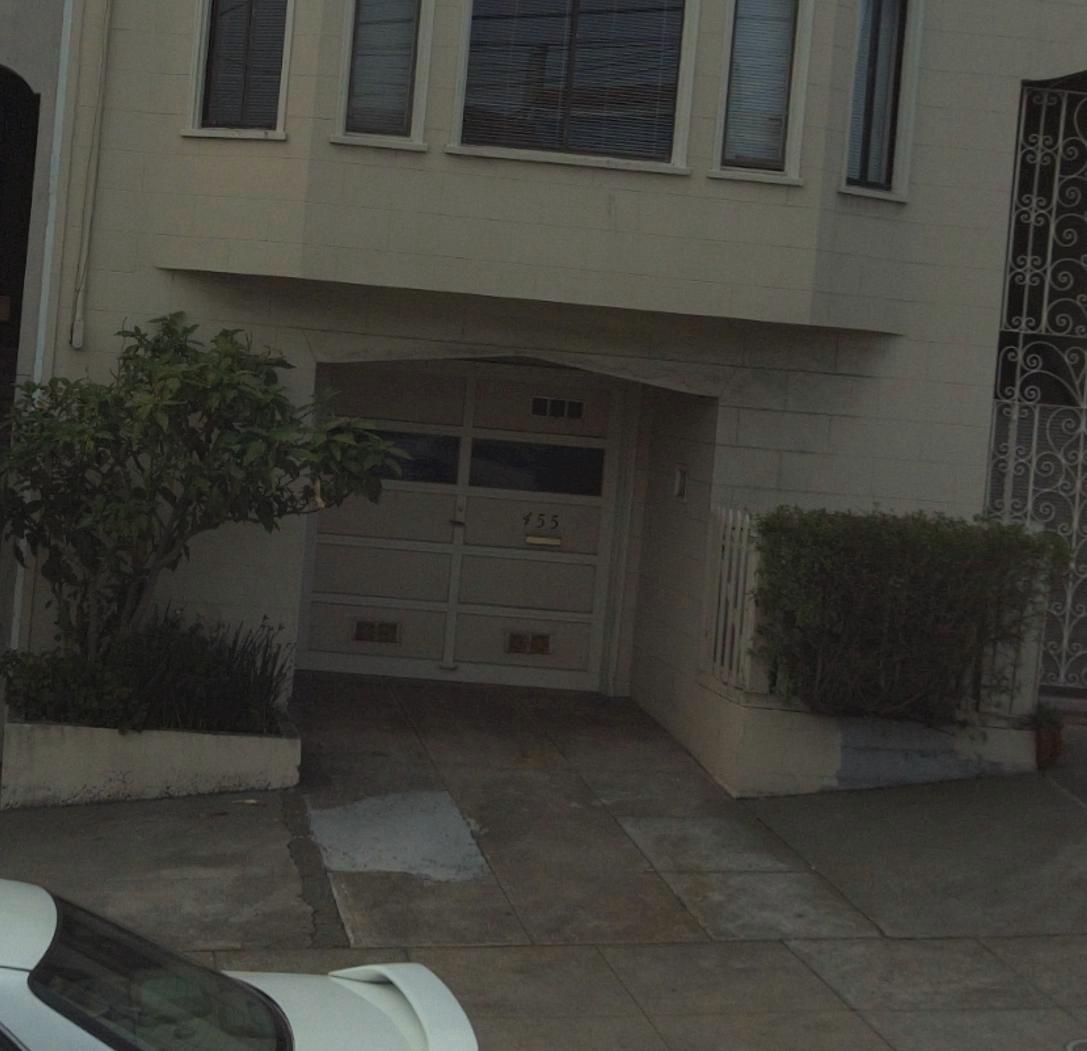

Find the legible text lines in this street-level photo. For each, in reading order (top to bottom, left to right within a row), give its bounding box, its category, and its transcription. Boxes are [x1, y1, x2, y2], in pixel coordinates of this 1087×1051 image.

[520, 511, 560, 531] StreetNumber: 455